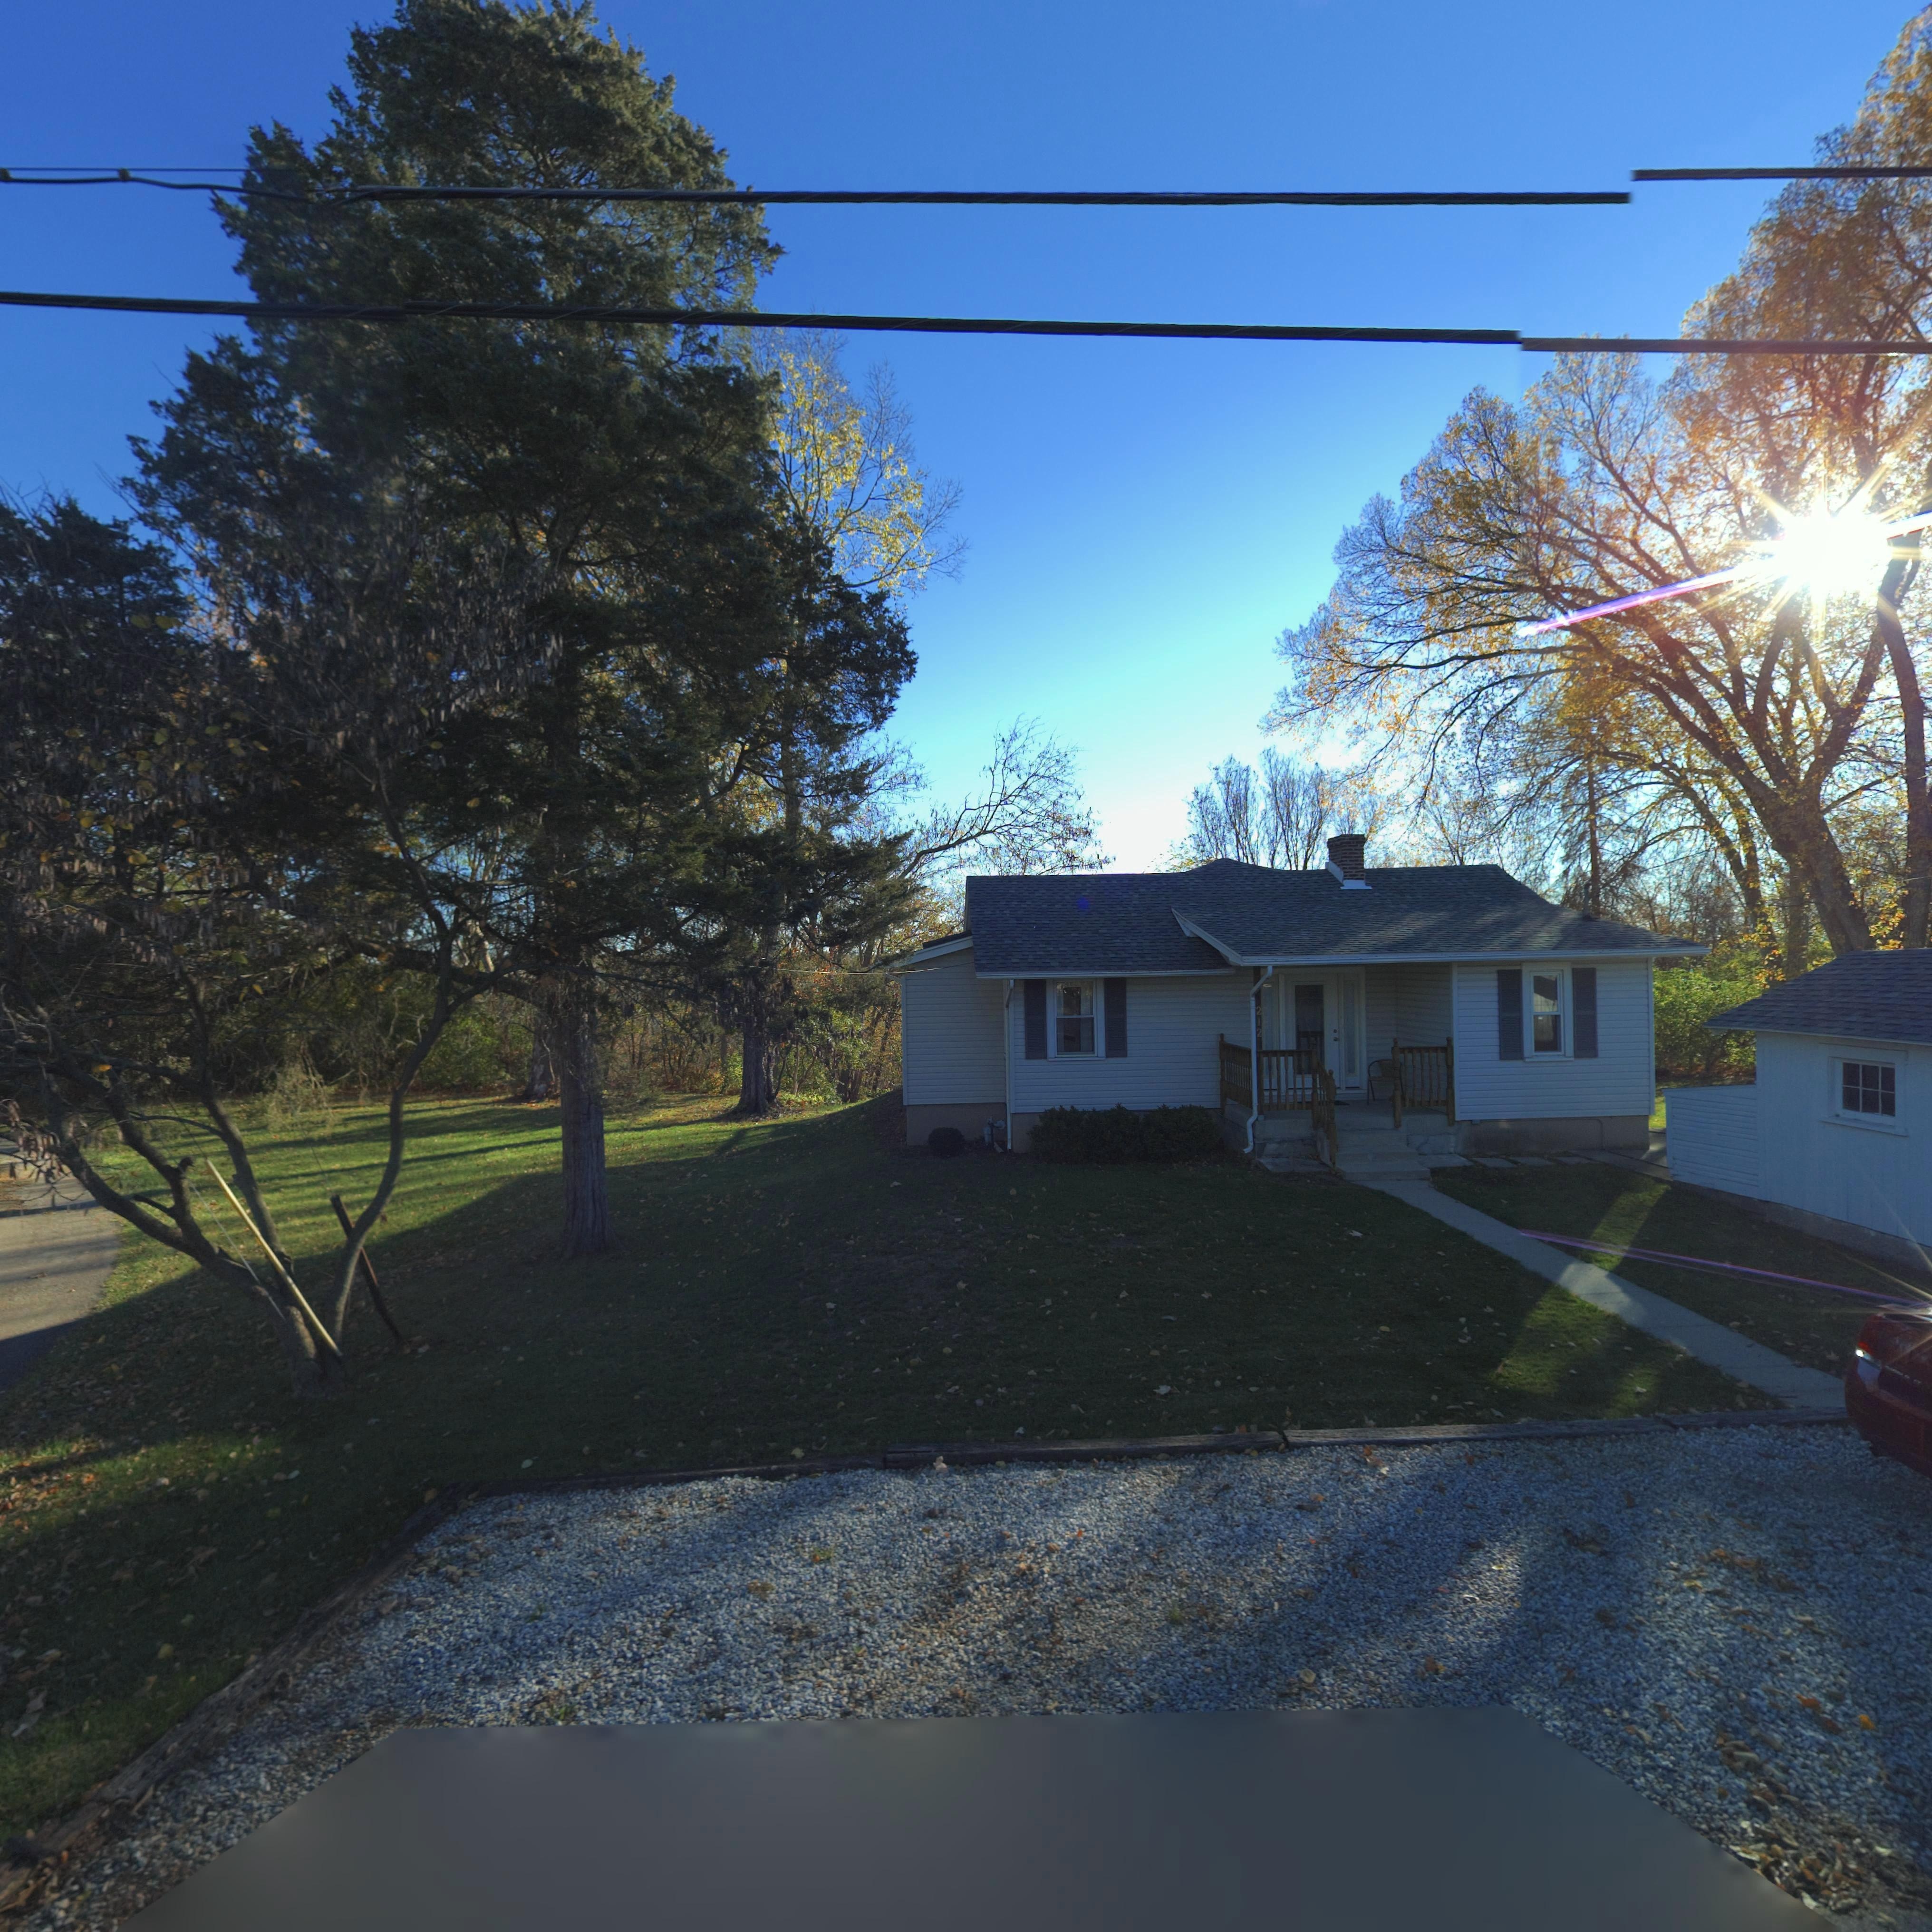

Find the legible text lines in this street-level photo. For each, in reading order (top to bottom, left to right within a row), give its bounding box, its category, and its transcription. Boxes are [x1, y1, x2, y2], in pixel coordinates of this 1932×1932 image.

[1255, 1005, 1263, 1037] StreetNumber: 212